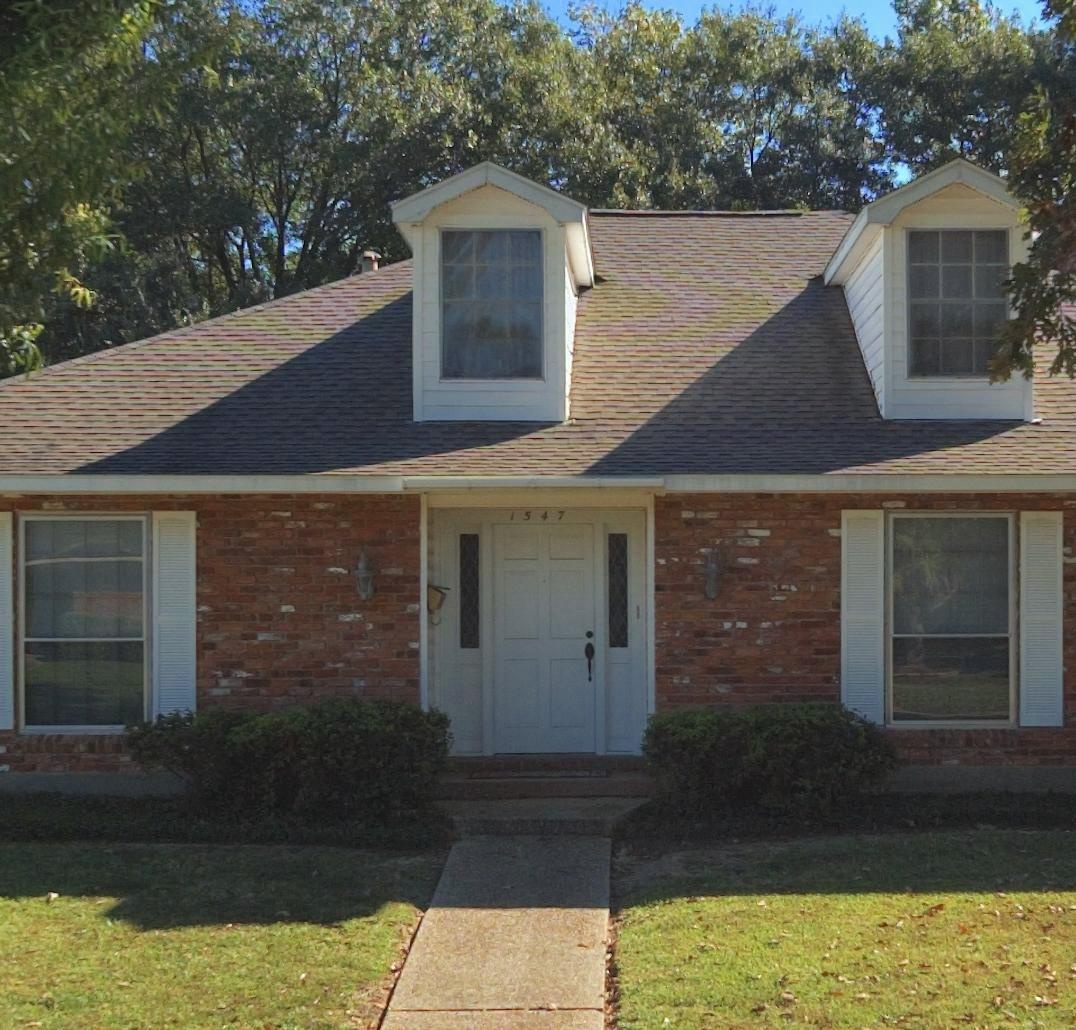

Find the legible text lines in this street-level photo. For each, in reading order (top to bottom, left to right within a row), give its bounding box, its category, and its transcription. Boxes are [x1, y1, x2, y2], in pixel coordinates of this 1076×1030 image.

[506, 509, 569, 523] StreetNumber: 1547